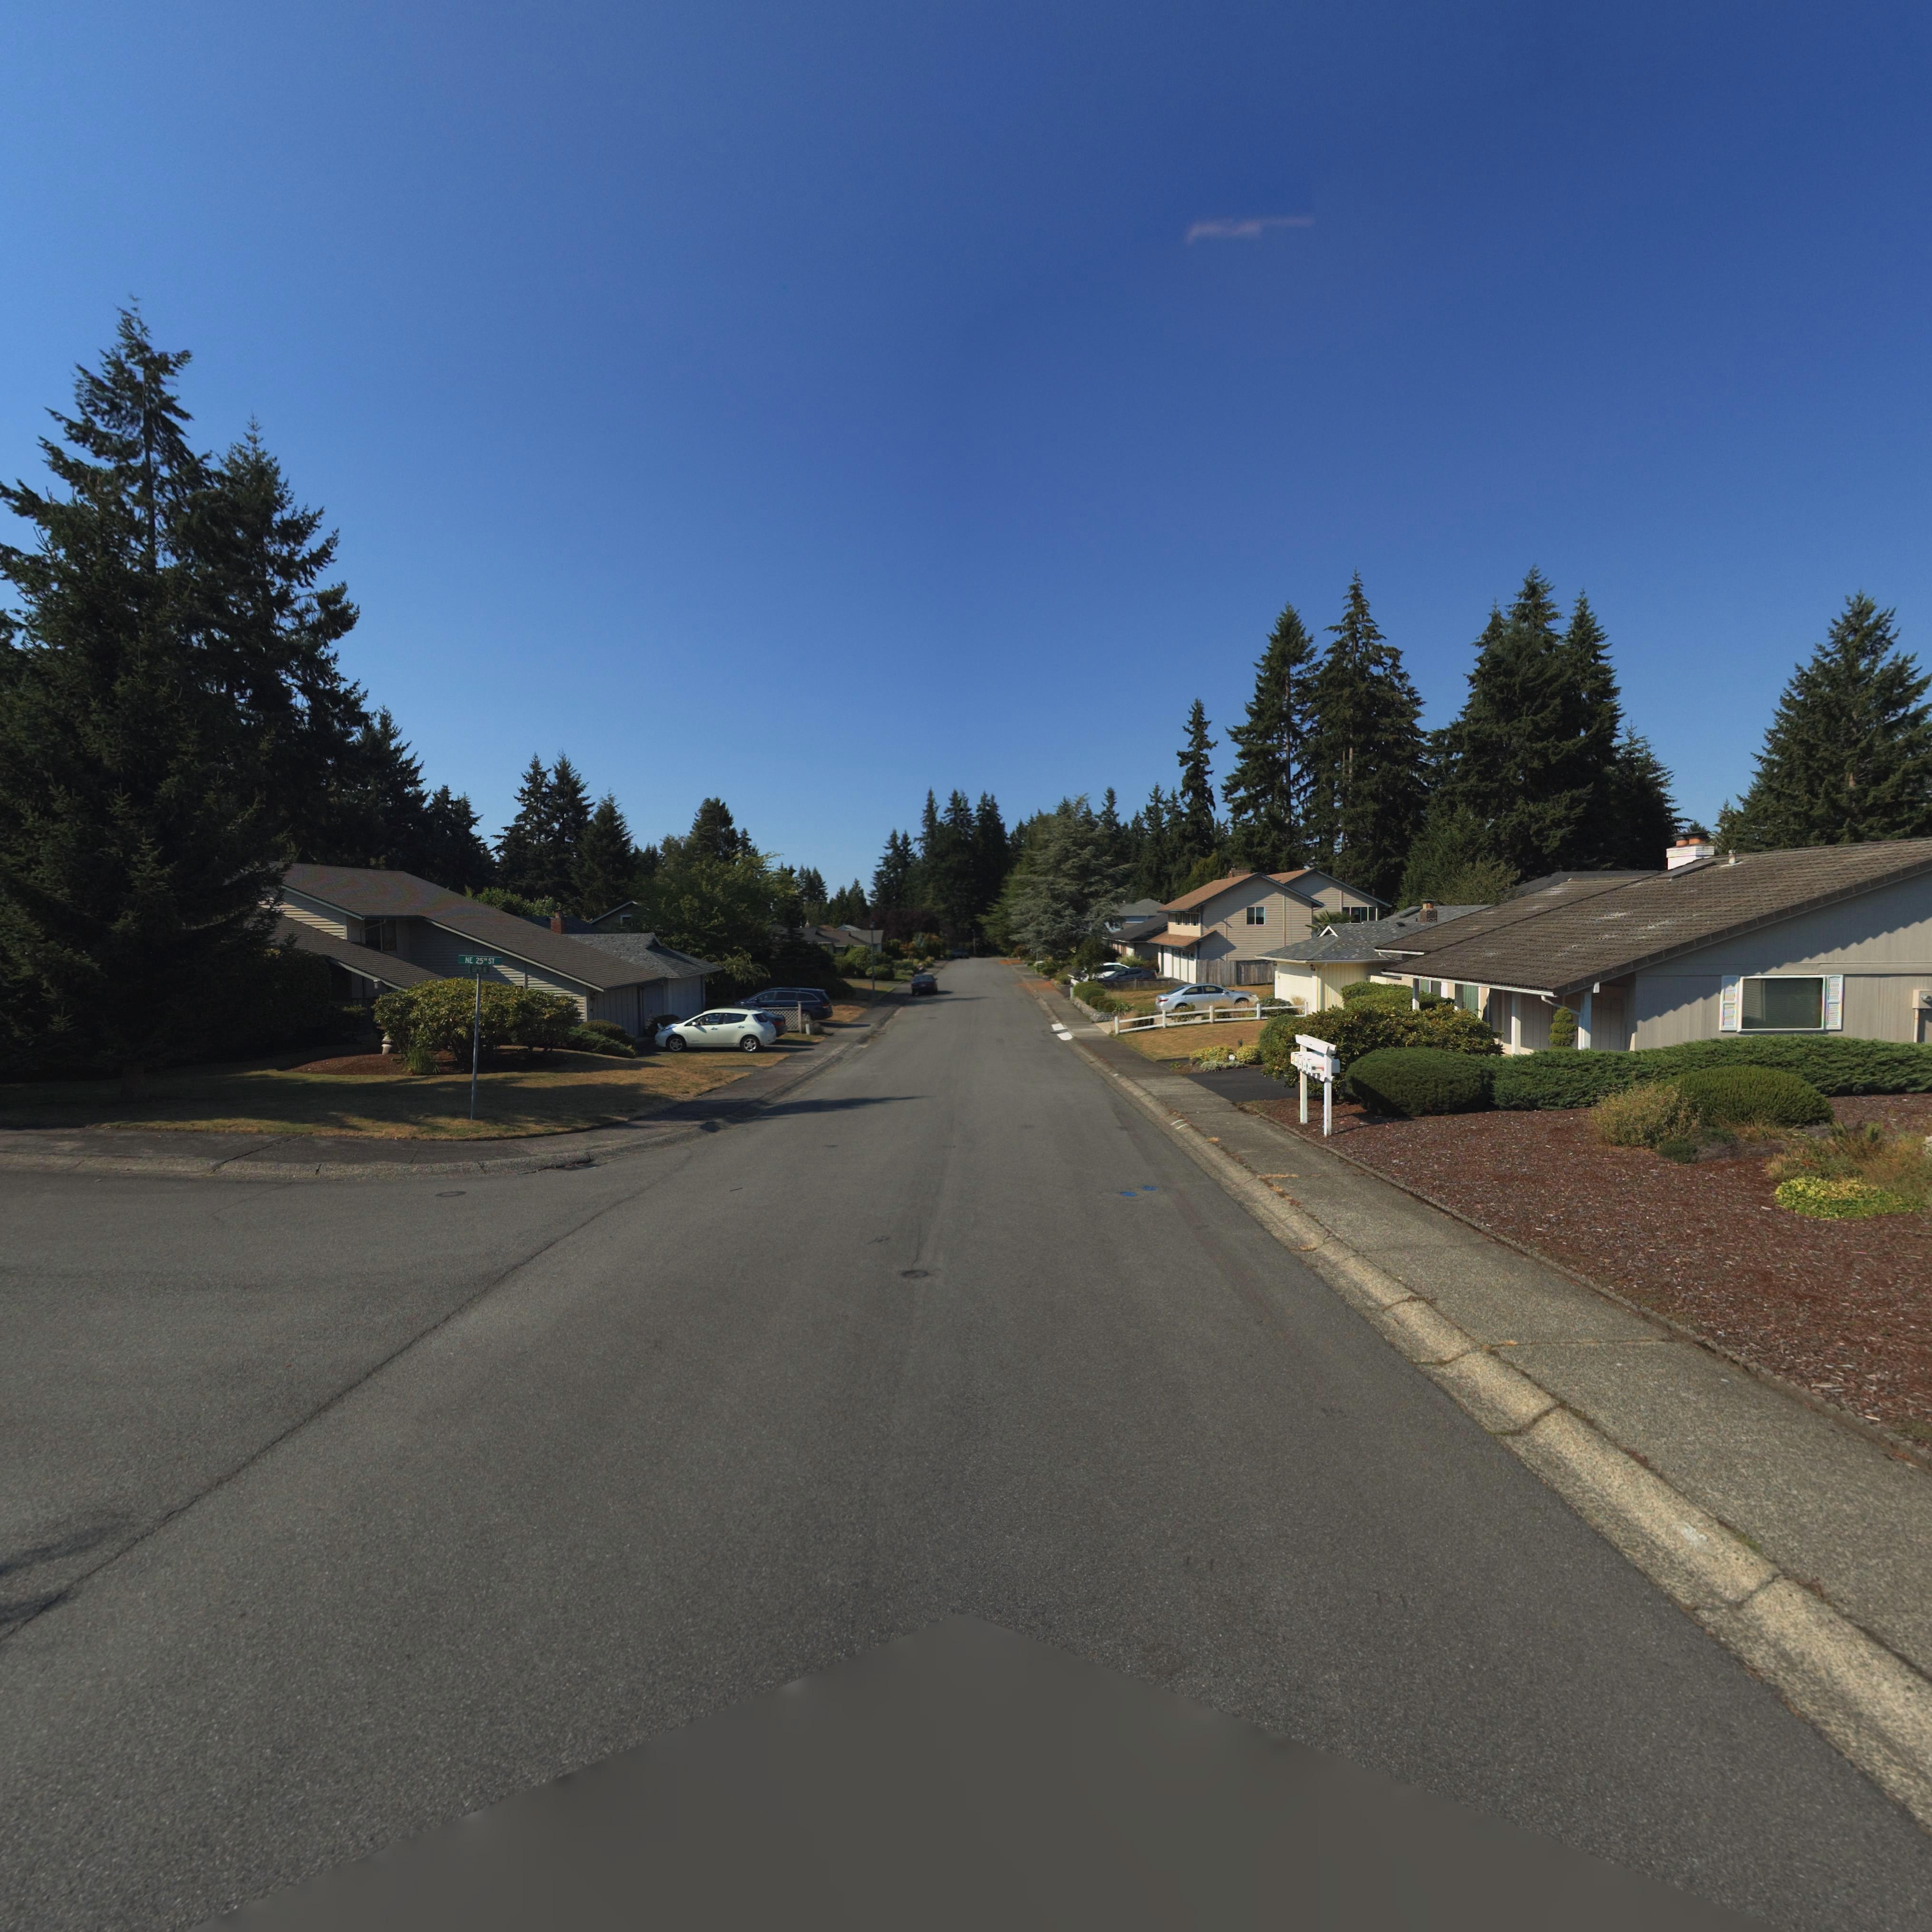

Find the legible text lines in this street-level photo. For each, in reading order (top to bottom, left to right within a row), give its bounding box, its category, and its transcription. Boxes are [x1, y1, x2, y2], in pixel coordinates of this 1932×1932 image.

[465, 957, 494, 964] StreetName: NE 25TH ST